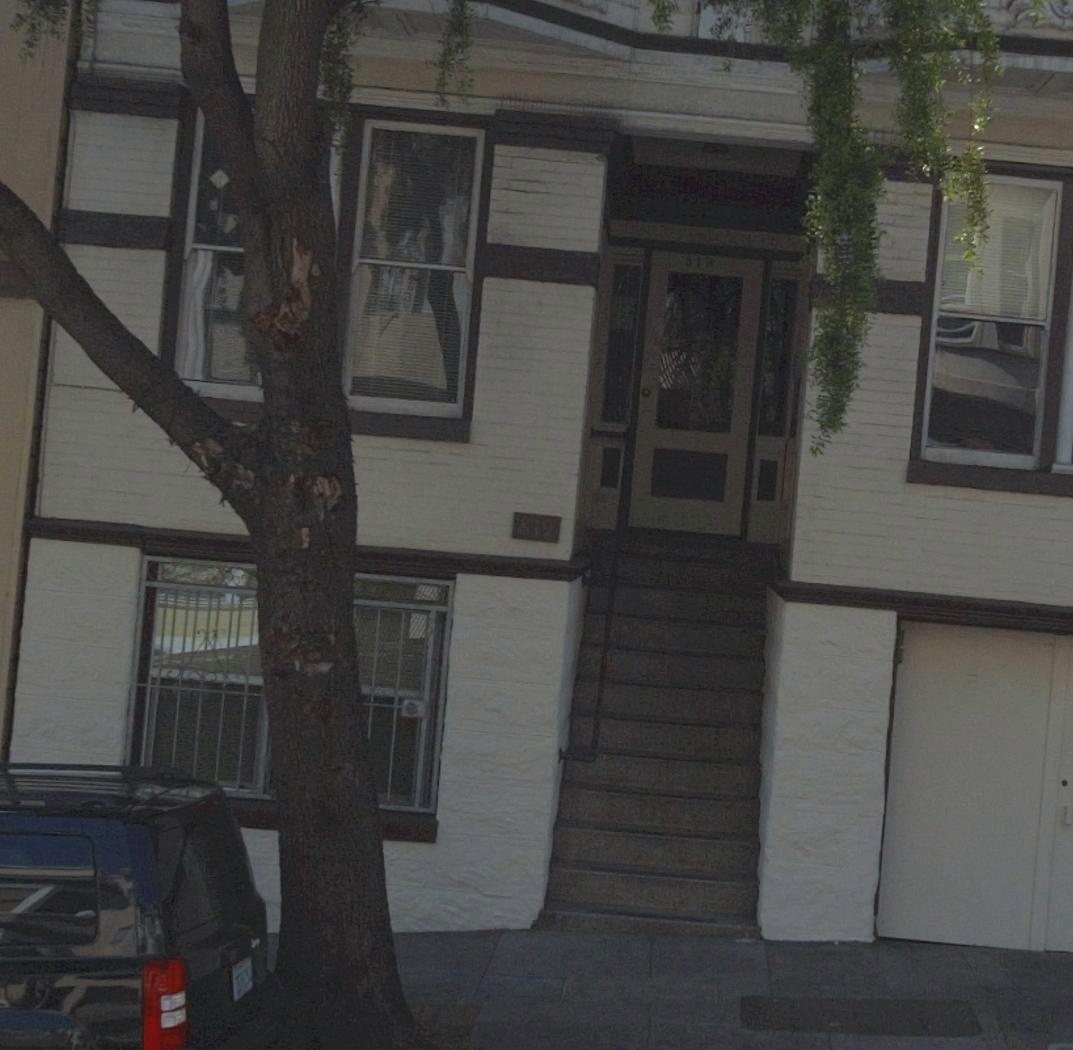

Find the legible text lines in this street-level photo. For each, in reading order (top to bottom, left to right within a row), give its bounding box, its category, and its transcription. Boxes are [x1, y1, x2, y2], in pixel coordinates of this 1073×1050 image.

[684, 253, 715, 269] StreetNumber: *1*
[518, 515, 555, 539] StreetNumber: 819